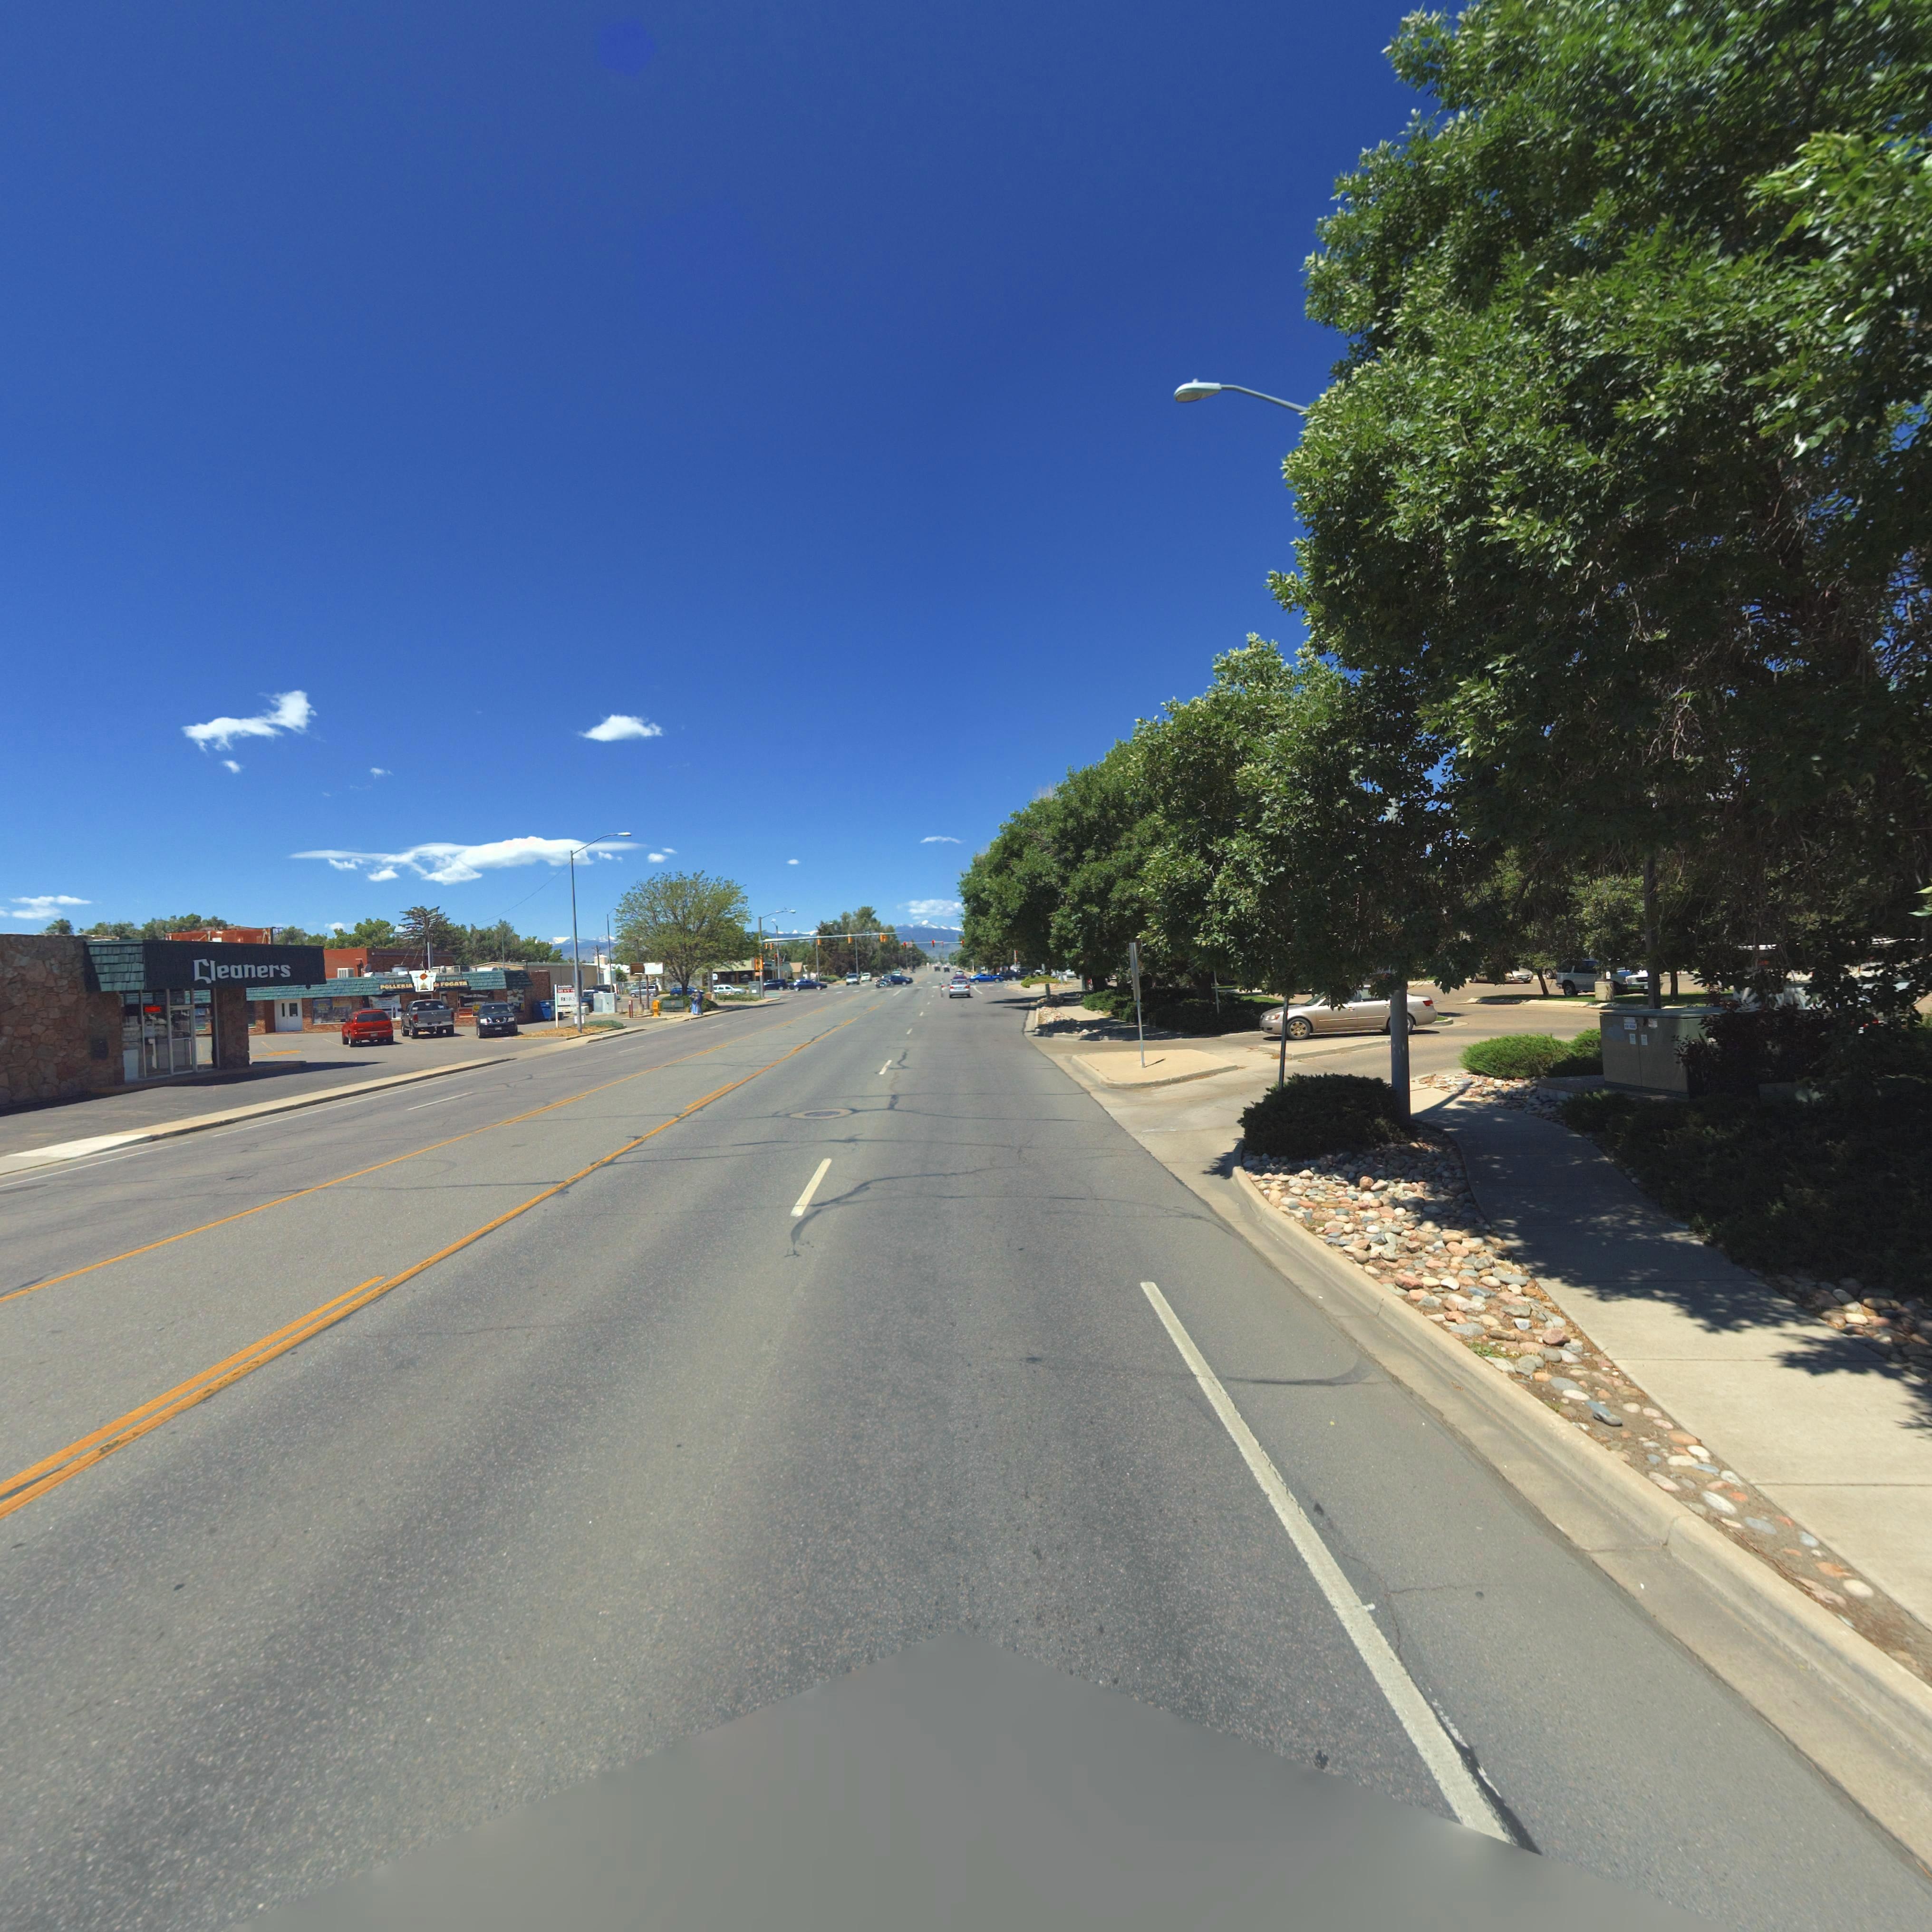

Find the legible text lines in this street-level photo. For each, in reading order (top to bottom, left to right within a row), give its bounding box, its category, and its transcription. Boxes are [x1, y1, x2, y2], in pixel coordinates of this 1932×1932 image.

[379, 983, 414, 990] BusinessName: POLLERIA
[433, 980, 468, 987] BusinessName: La F*****